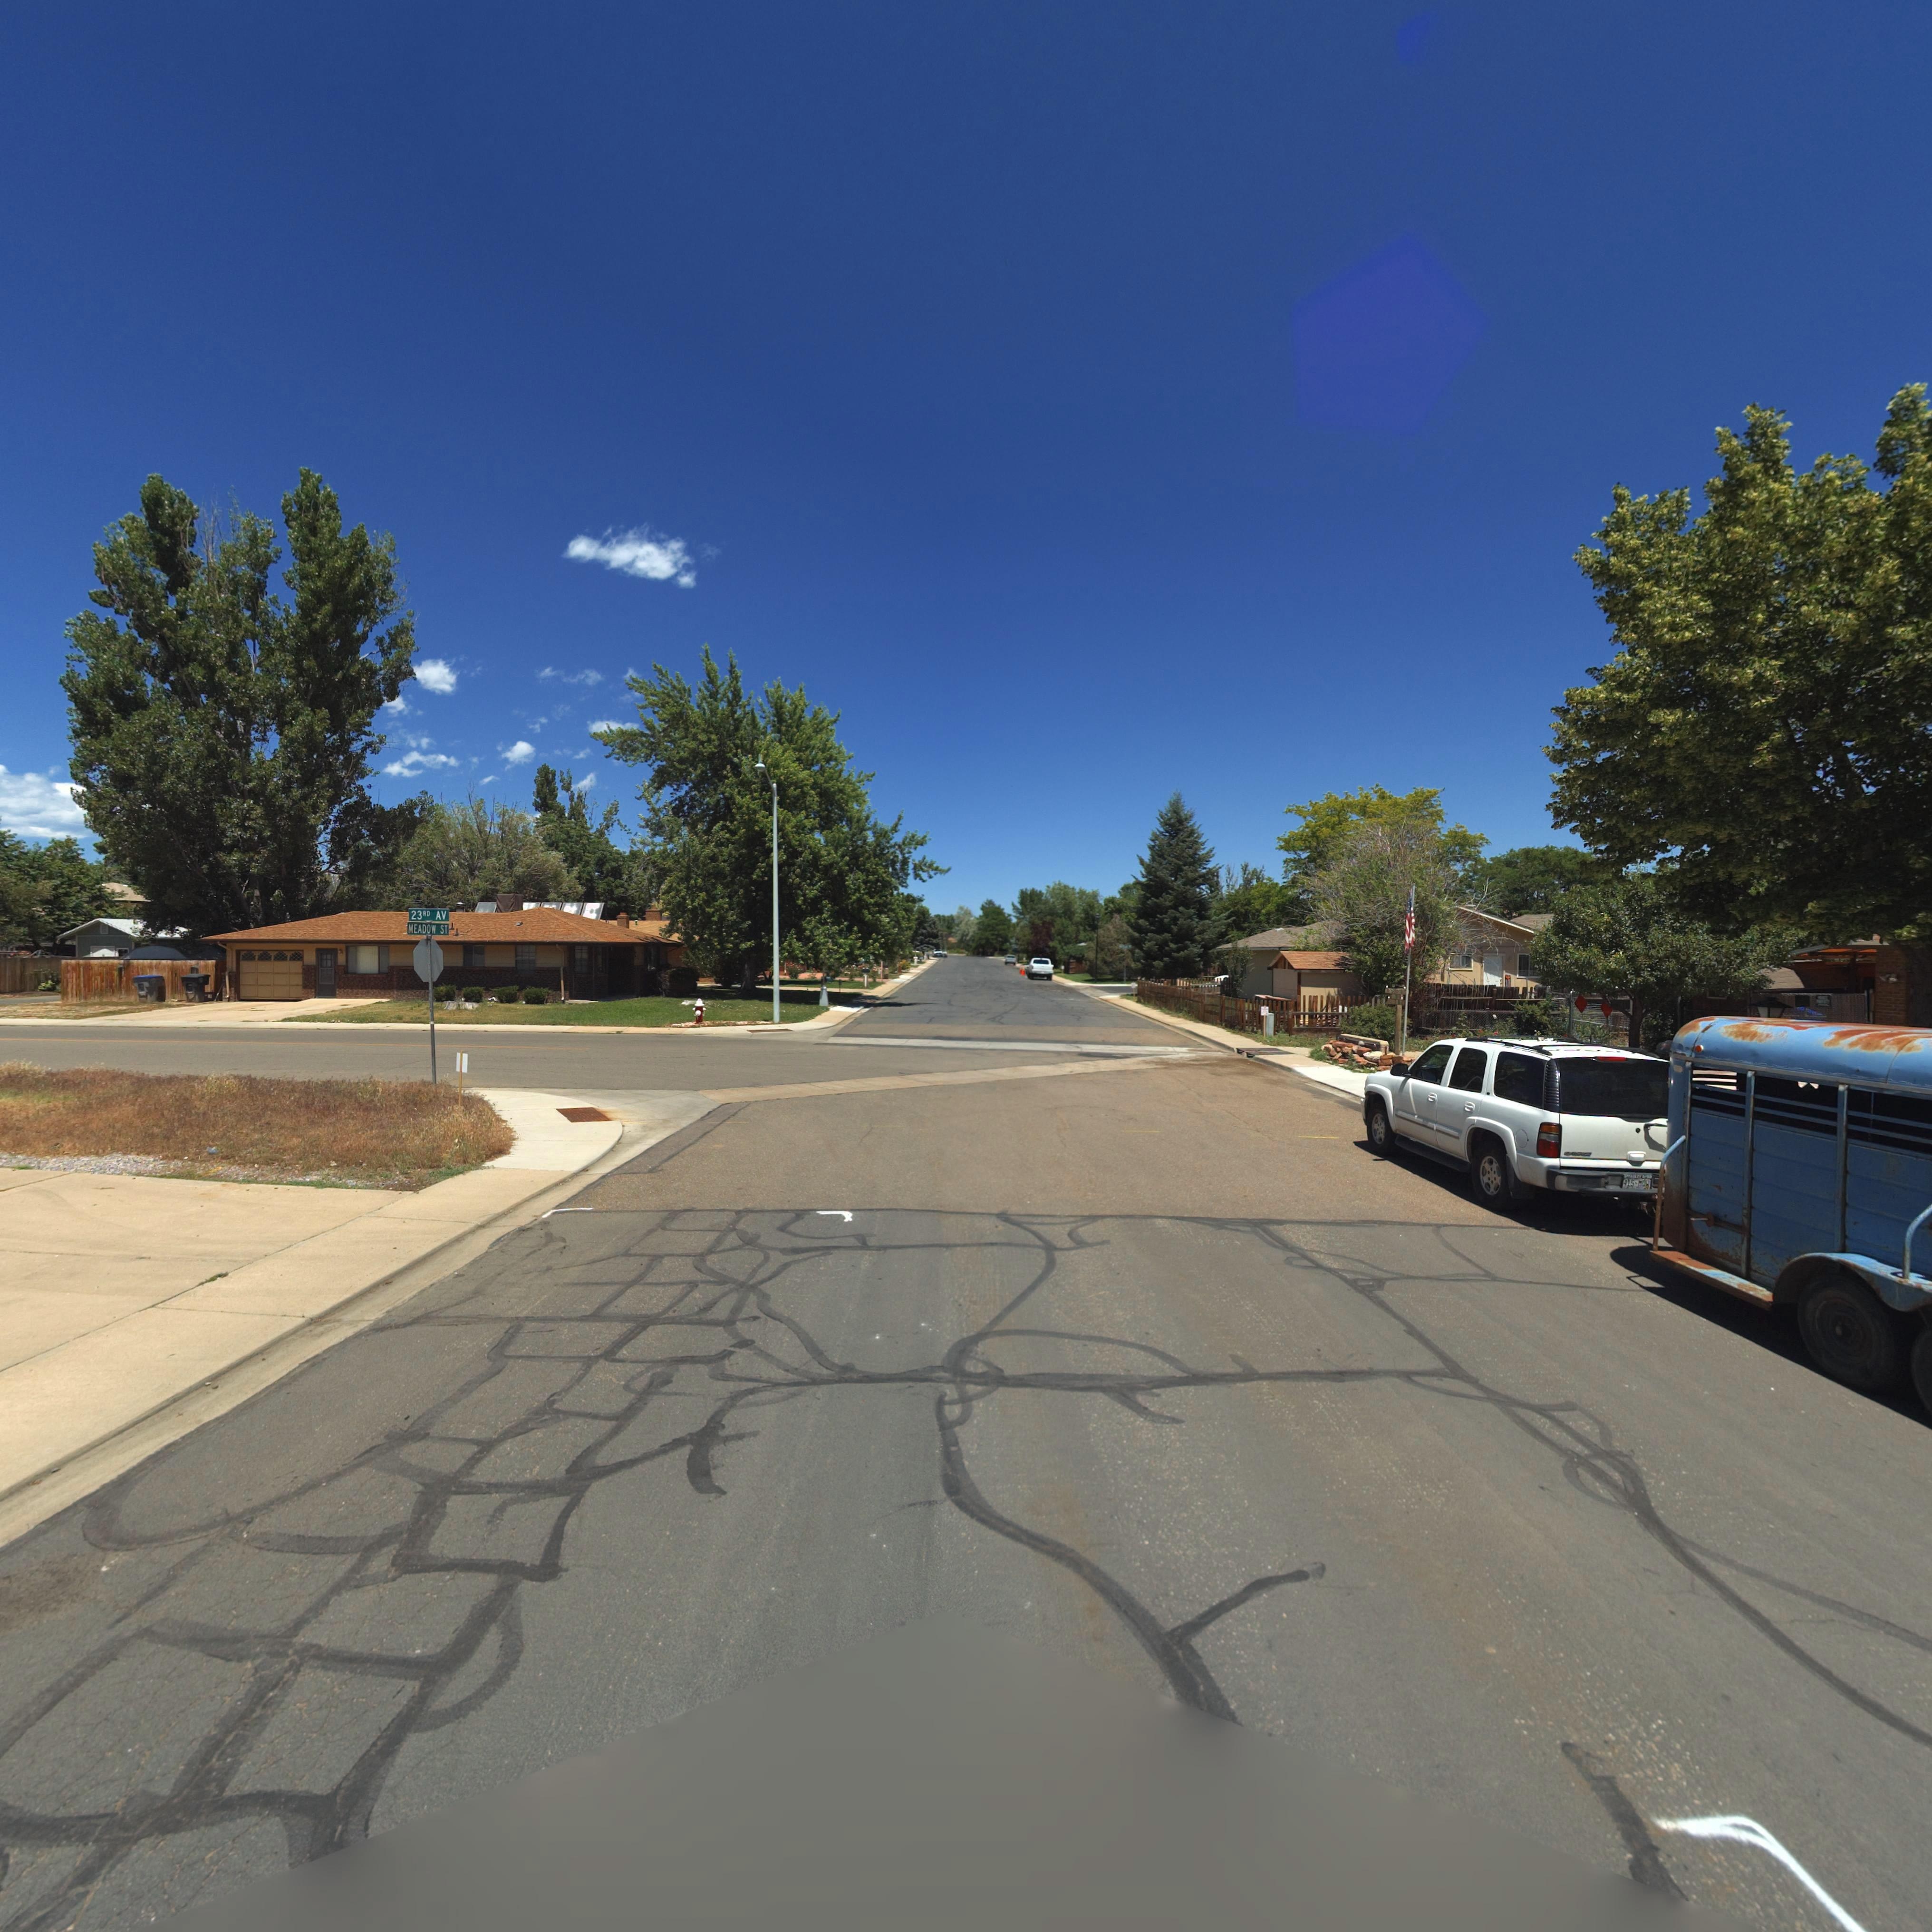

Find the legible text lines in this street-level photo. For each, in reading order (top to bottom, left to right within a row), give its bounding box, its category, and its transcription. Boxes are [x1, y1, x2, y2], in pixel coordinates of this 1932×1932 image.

[411, 910, 447, 920] StreetName: 23RD AV
[408, 923, 448, 934] StreetName: MEADOW ST